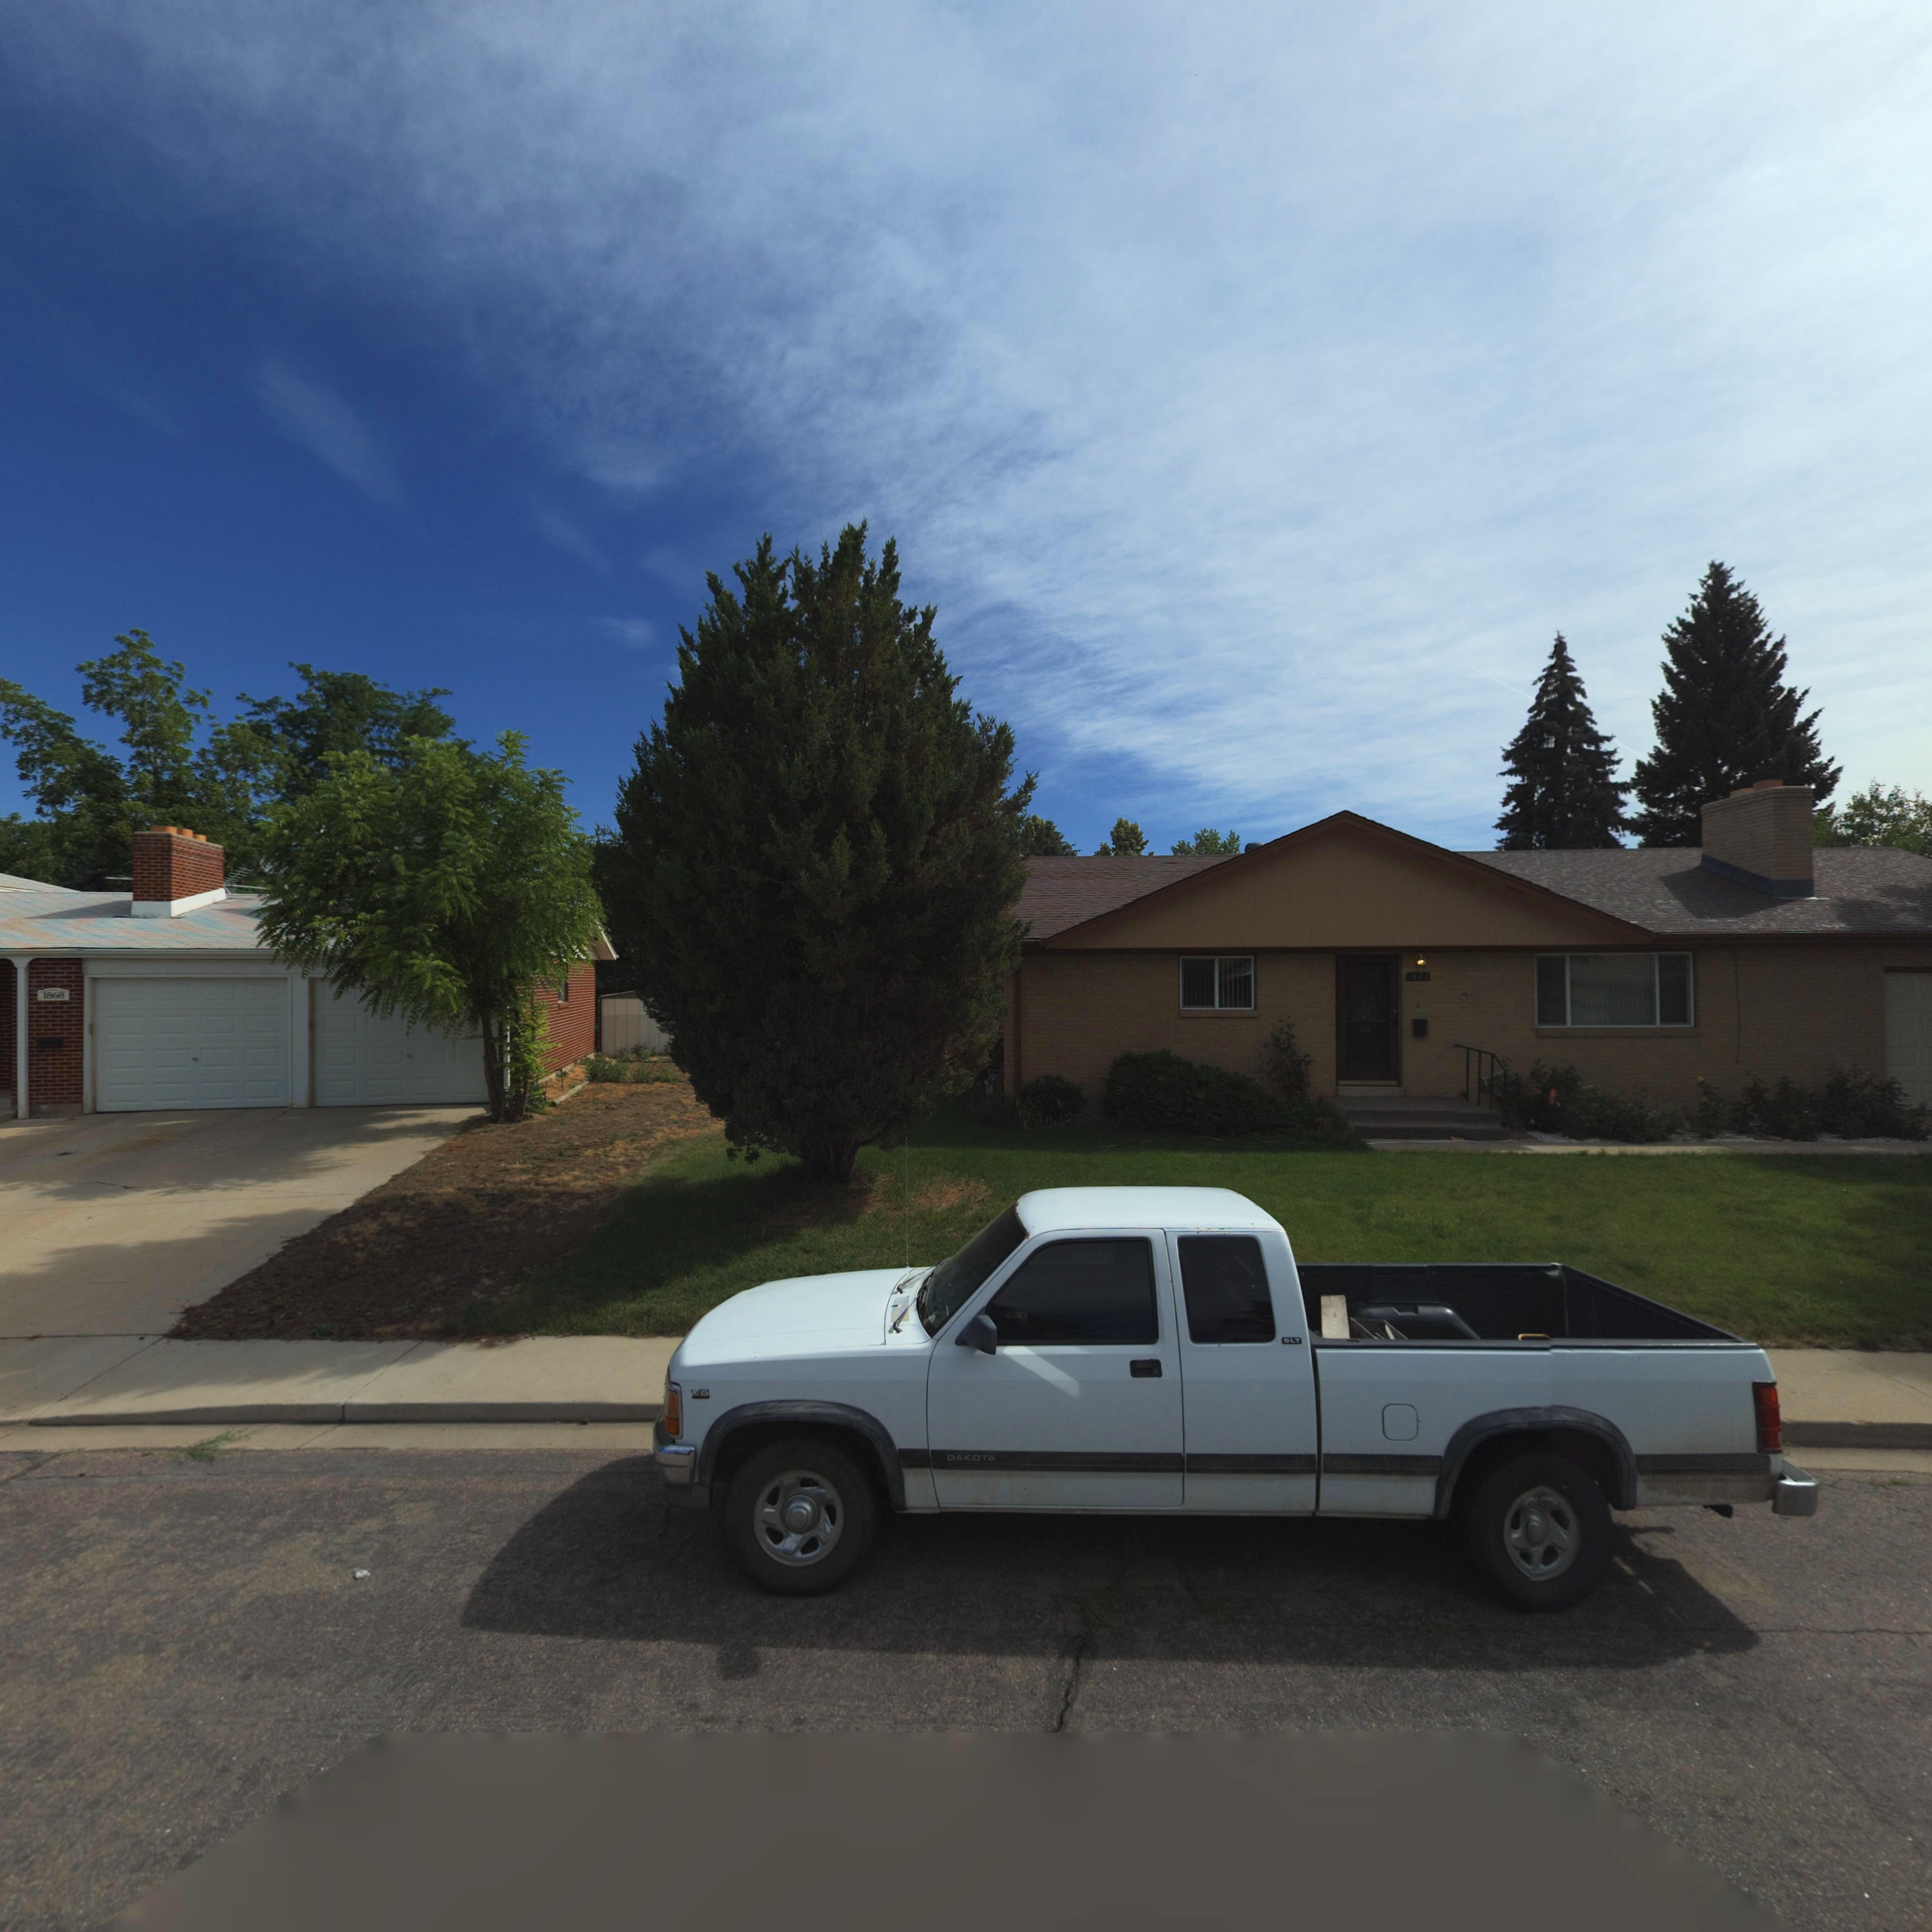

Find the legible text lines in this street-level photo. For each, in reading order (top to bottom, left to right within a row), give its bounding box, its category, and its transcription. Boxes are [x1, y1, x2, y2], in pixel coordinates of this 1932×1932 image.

[1409, 973, 1429, 980] StreetNumber: 1862
[42, 991, 65, 999] StreetNumber: 1868